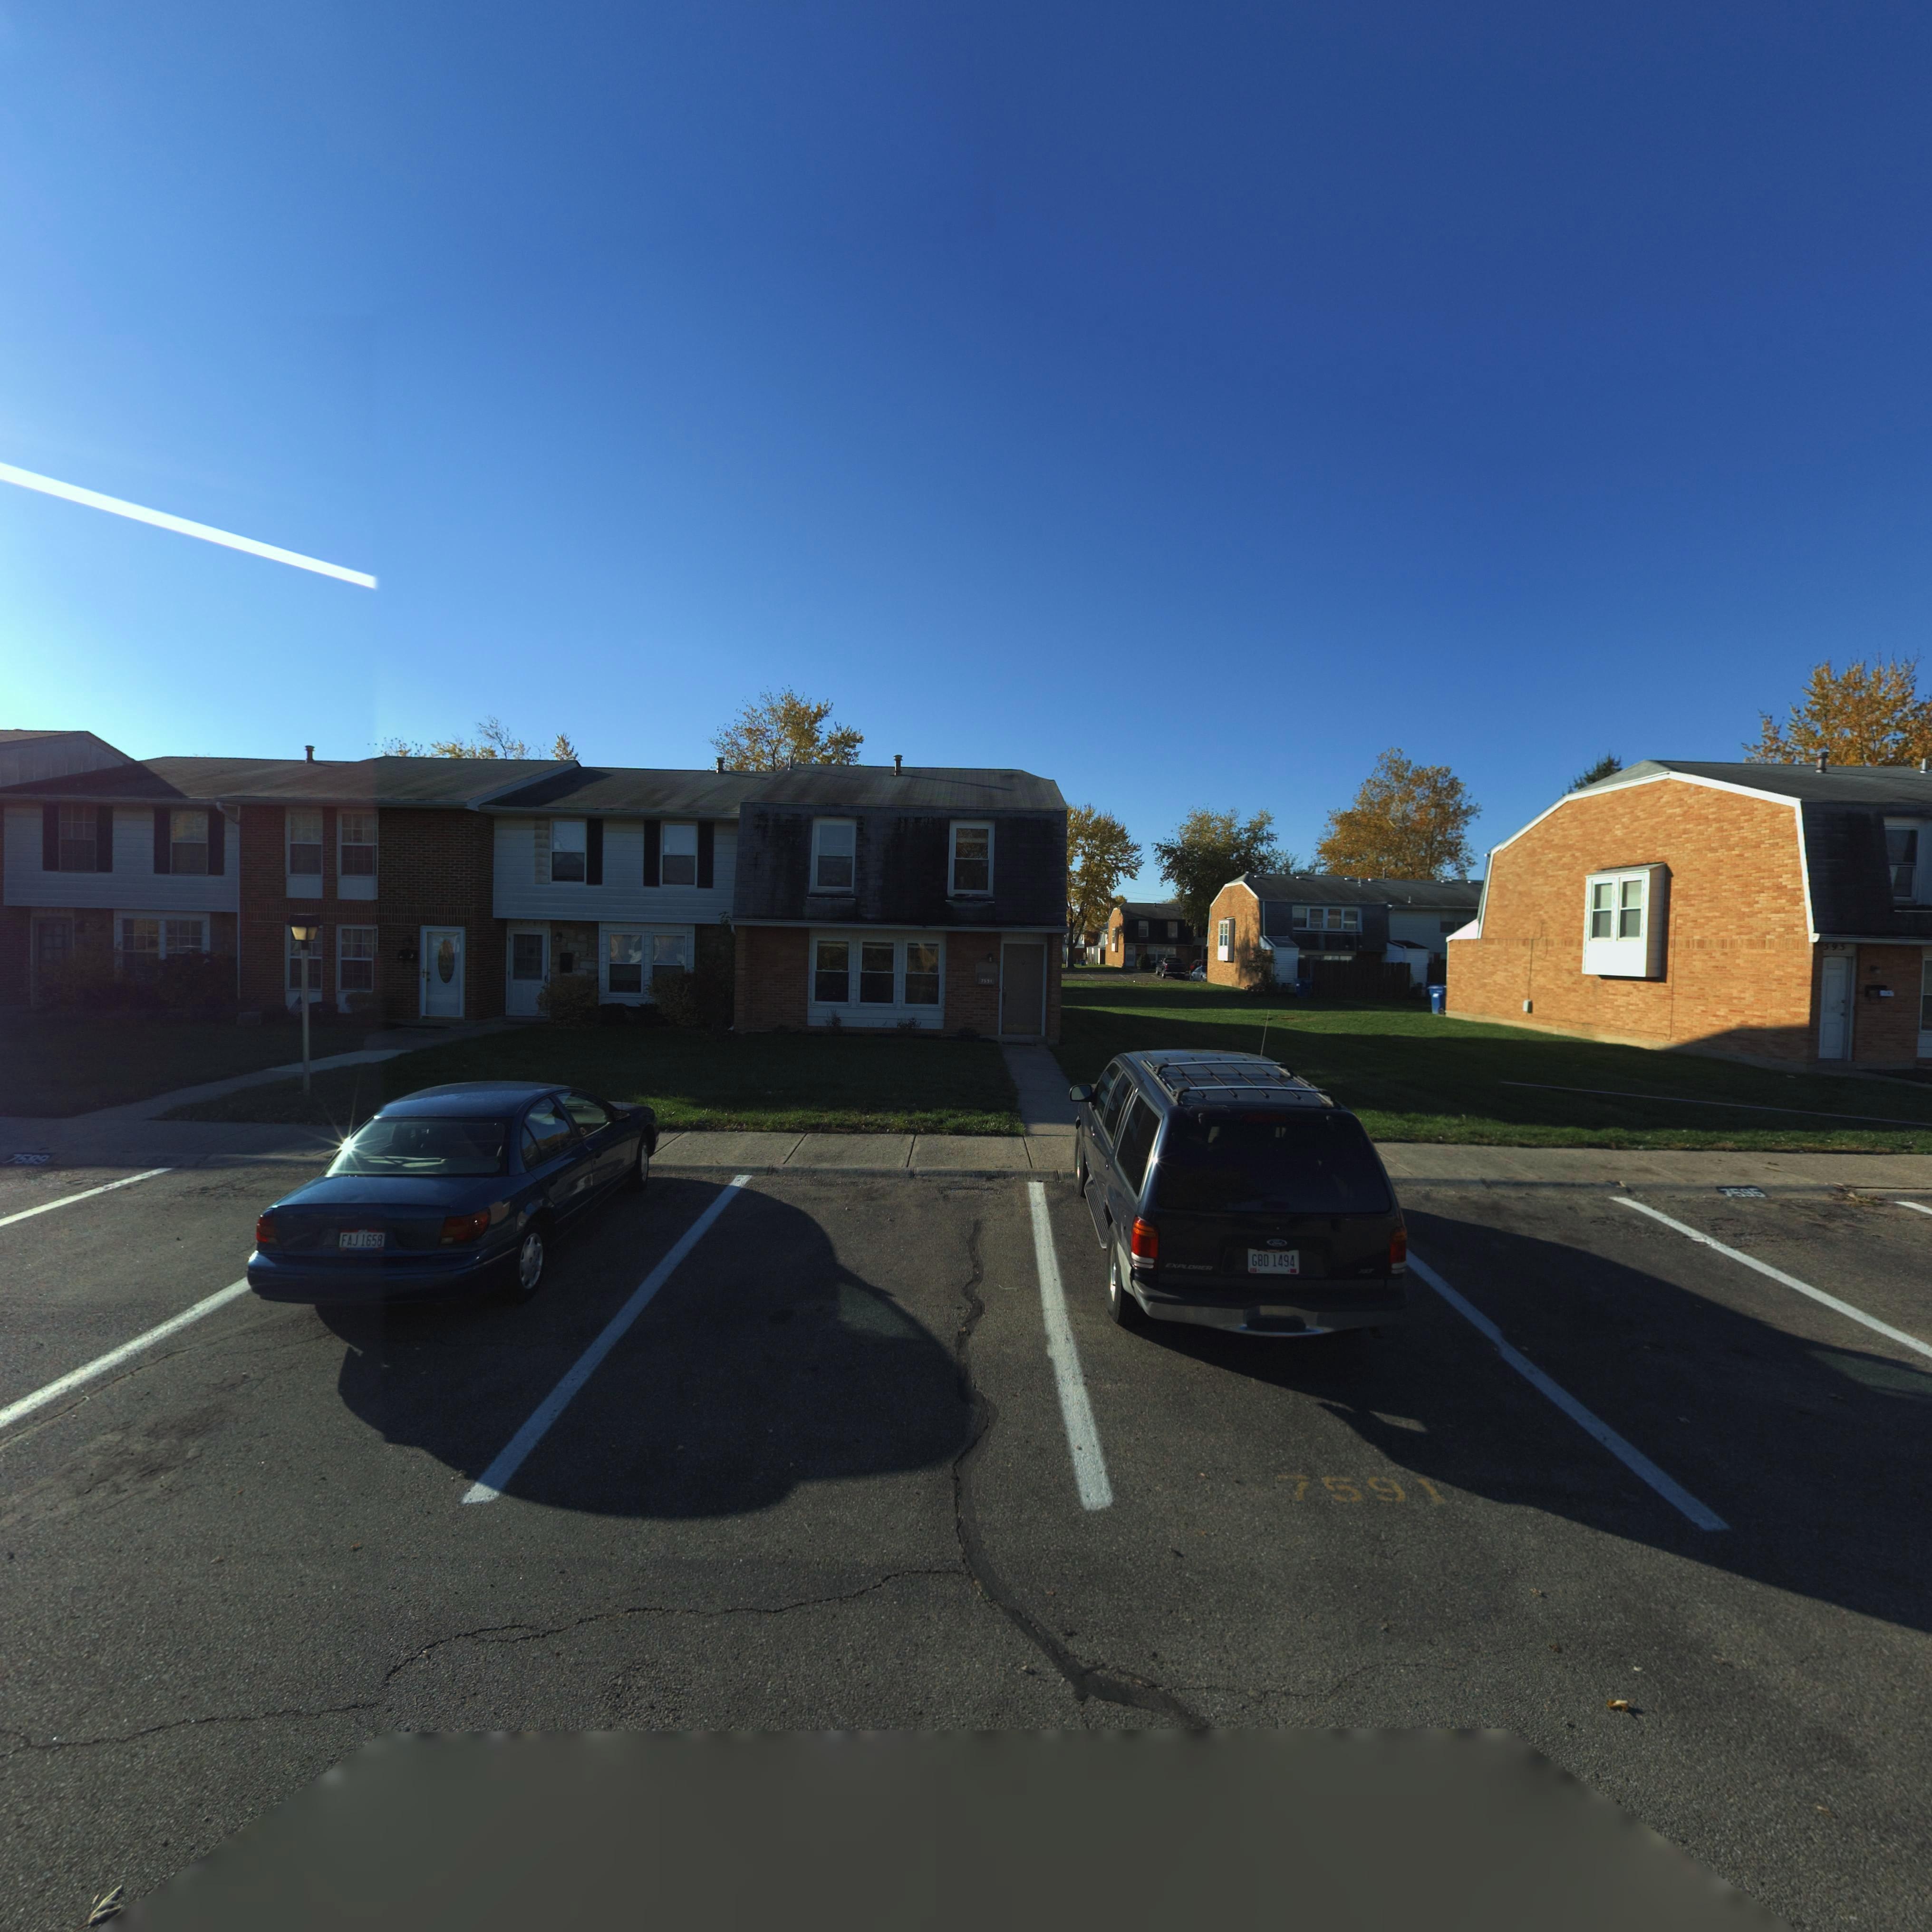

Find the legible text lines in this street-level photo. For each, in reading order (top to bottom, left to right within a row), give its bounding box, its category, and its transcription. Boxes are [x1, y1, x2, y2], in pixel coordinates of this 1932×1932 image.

[42, 908, 68, 915] StreetNumber: 7***
[519, 920, 544, 927] StreetNumber: 7589
[1824, 942, 1847, 951] StreetNumber: 595
[980, 978, 993, 983] StreetNumber: 75*1
[1, 1153, 50, 1165] StreetNumber: 7589
[1718, 1188, 1767, 1198] StreetNumber: 7595
[1272, 1473, 1450, 1506] StreetNumber: 7591